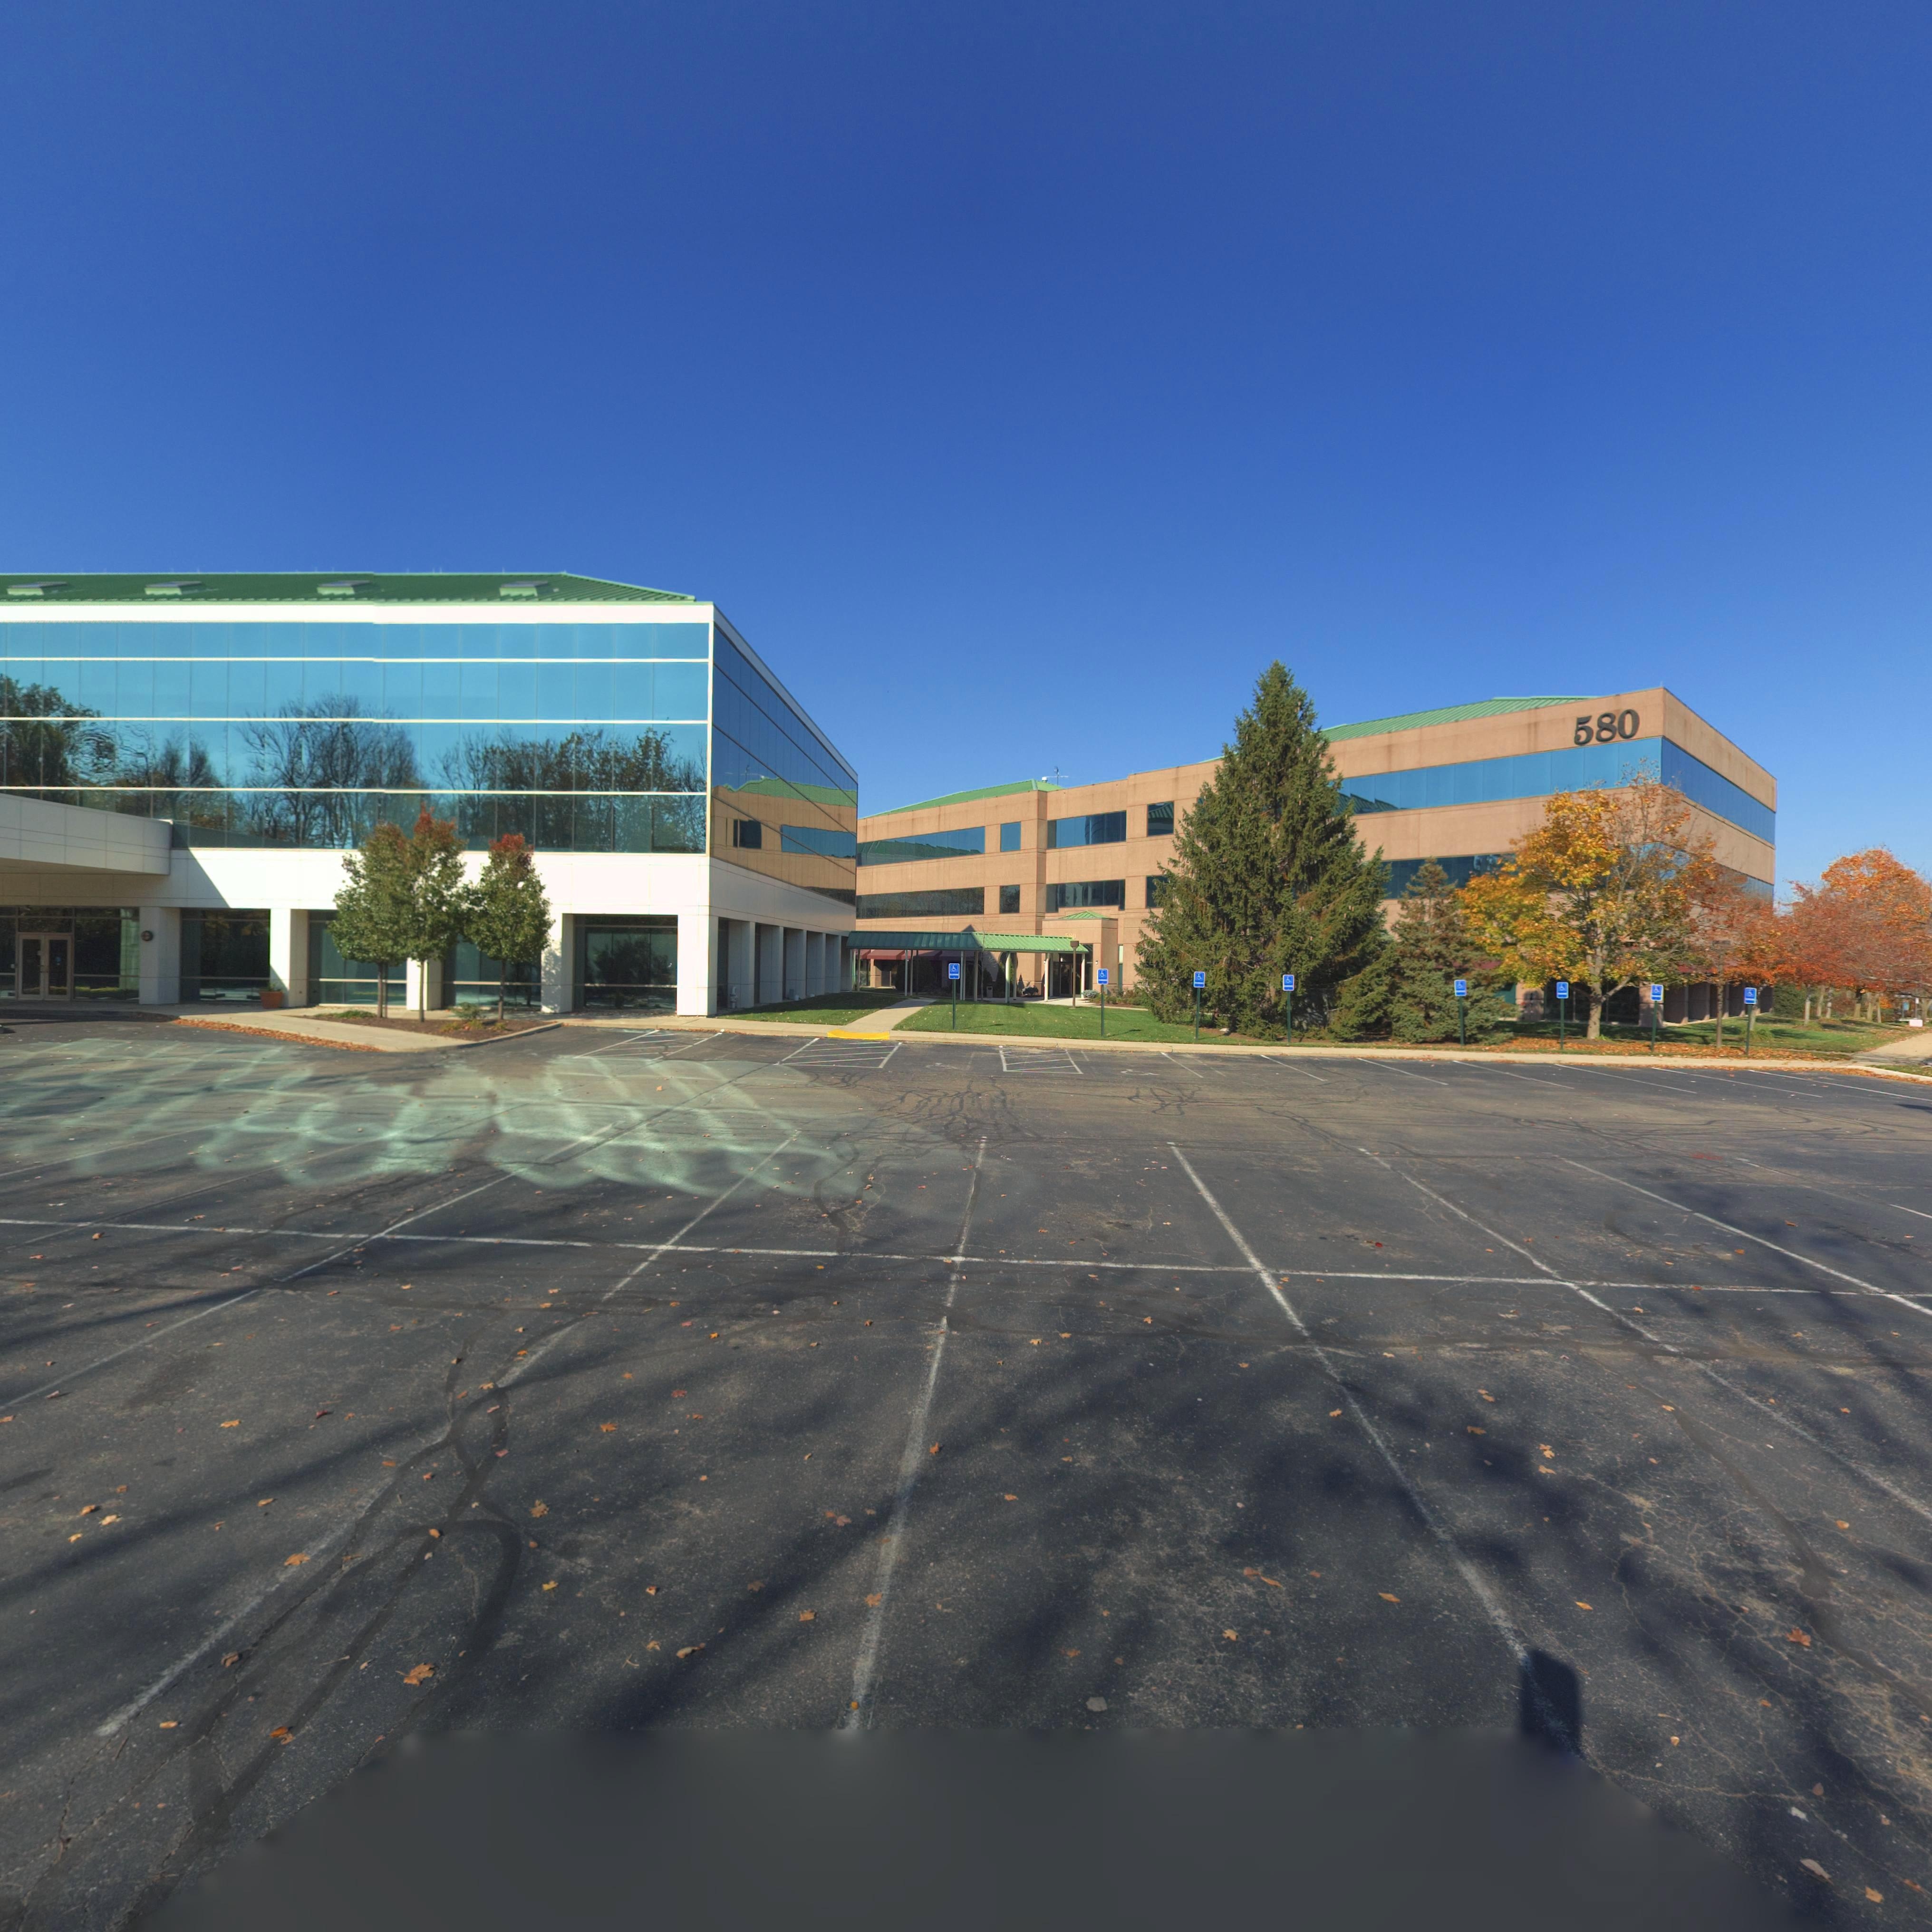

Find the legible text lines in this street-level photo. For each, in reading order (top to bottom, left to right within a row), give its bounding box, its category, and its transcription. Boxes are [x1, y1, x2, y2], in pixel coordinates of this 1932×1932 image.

[1572, 707, 1641, 746] StreetNumber: 580